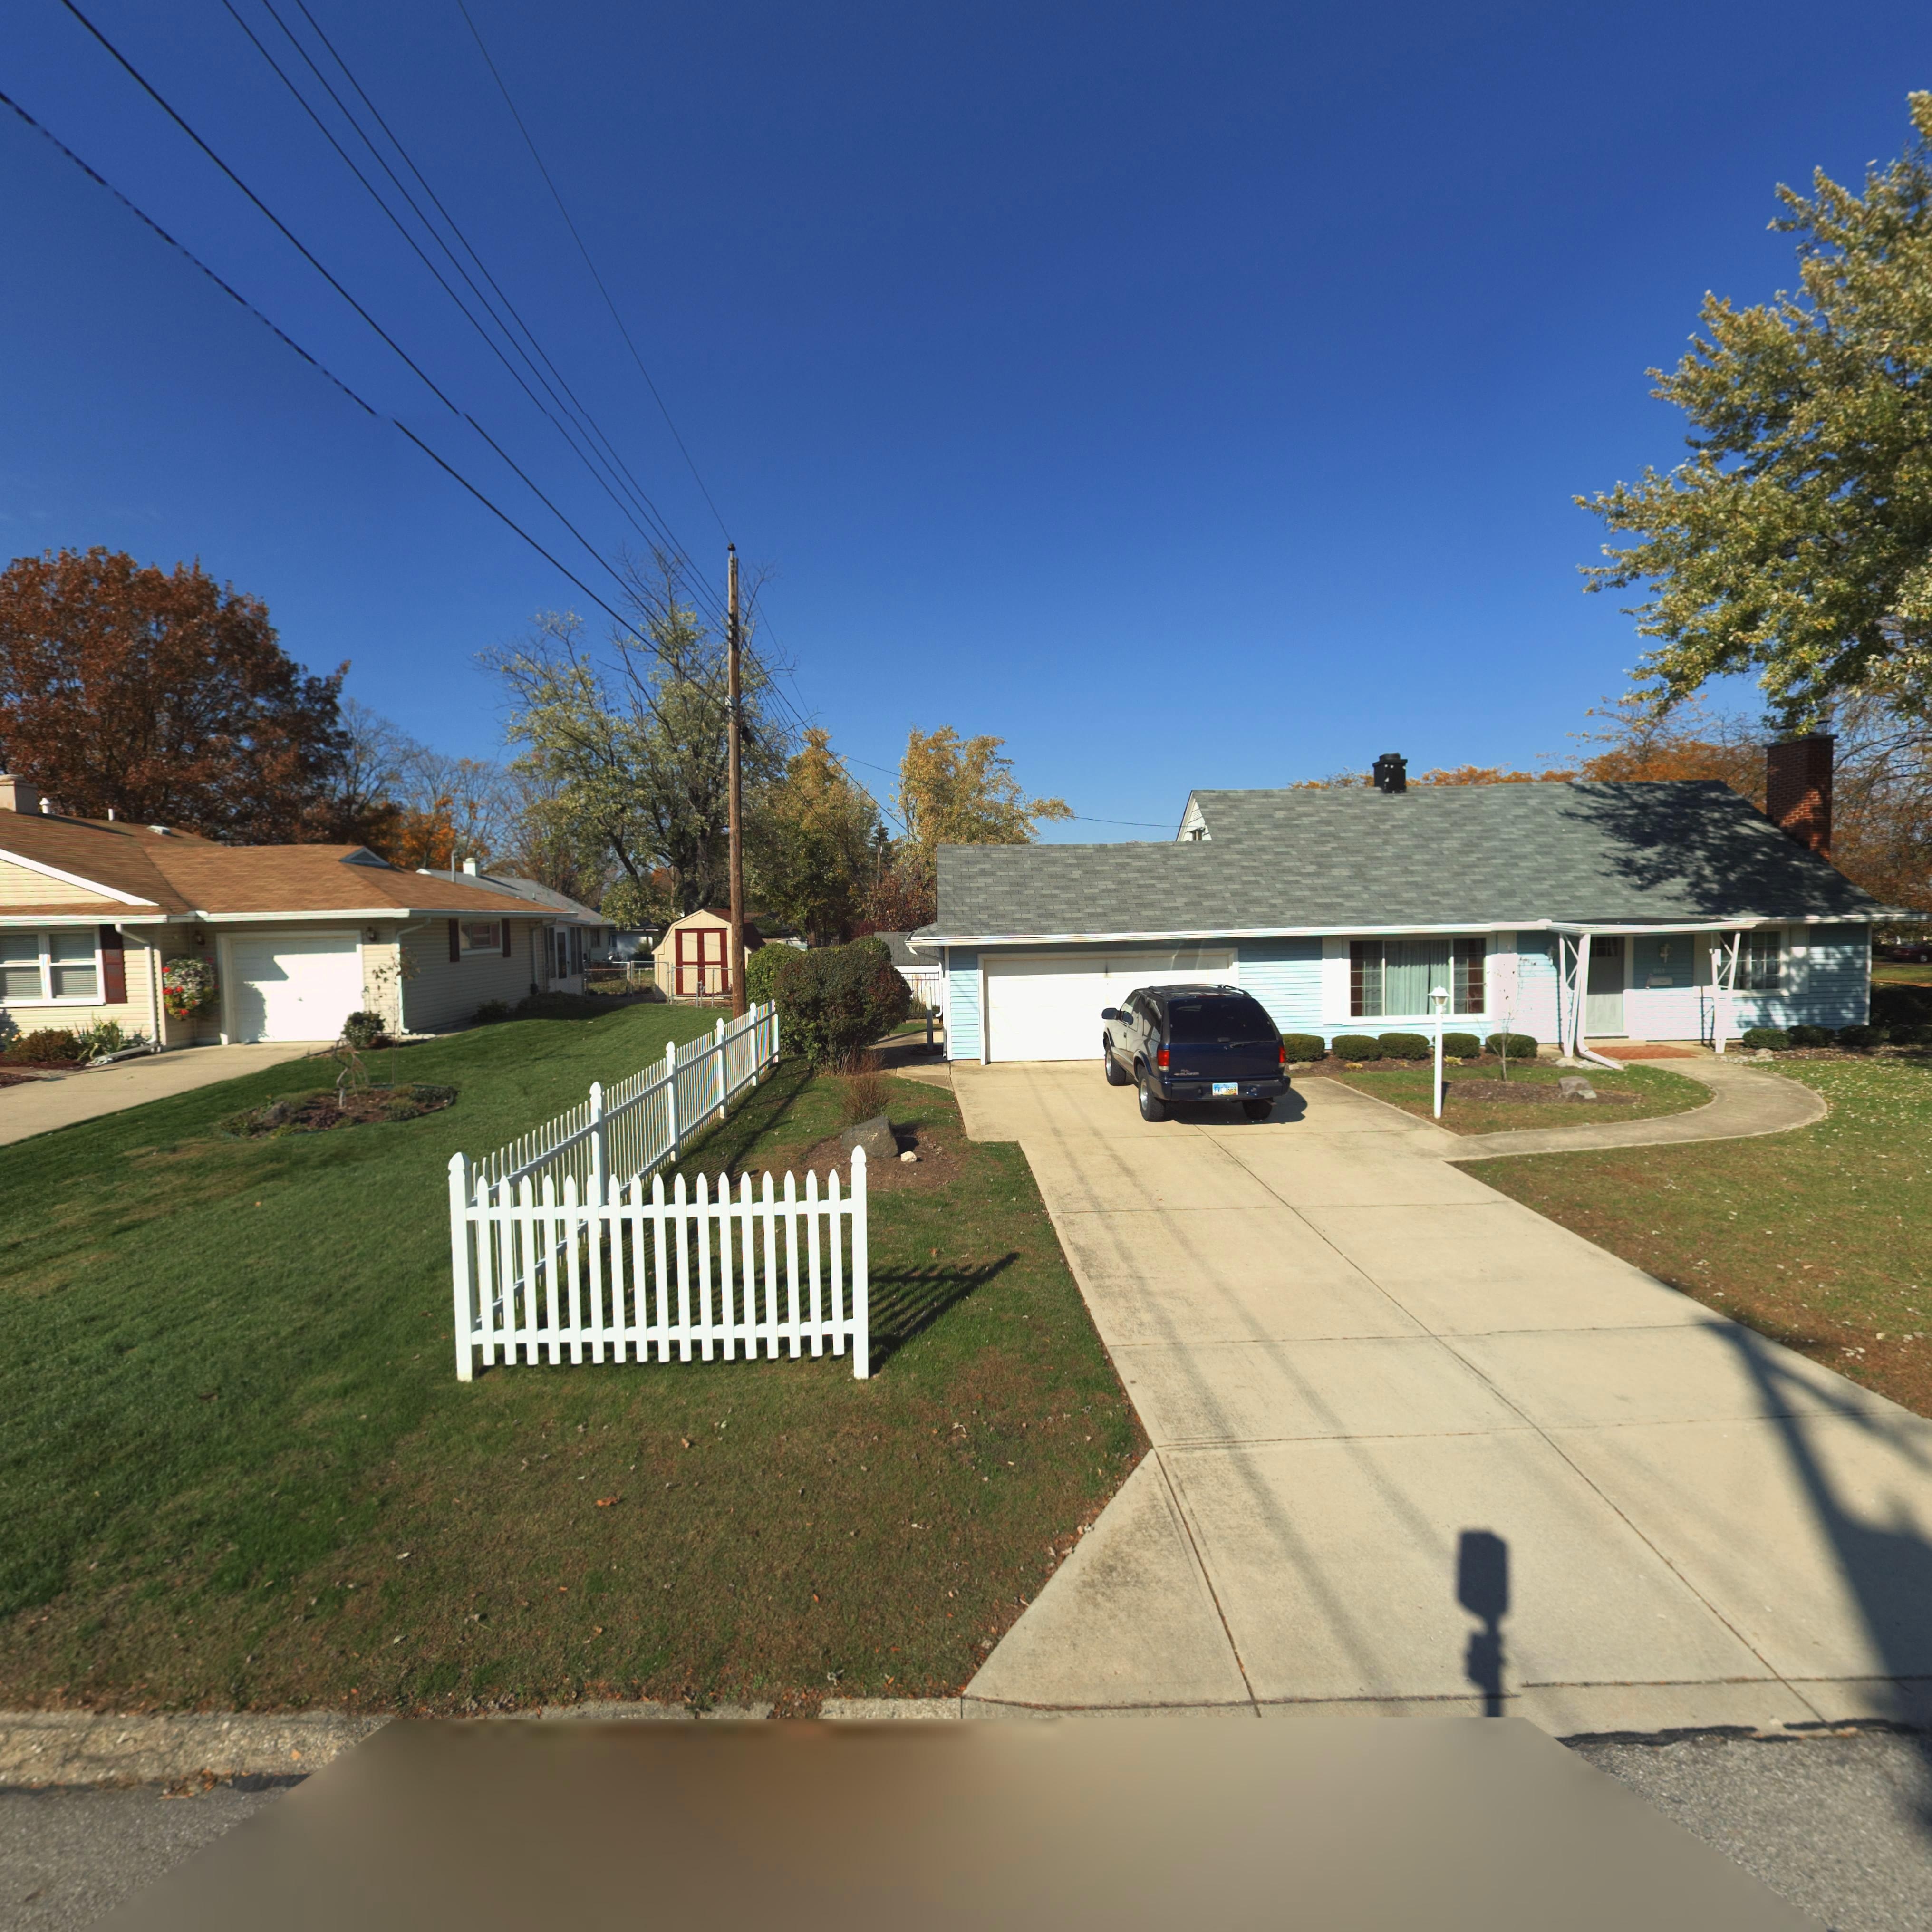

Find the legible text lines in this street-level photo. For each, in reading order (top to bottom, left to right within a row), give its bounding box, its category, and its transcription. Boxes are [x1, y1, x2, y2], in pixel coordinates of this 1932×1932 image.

[1214, 1085, 1237, 1094] None: FVC 3669\